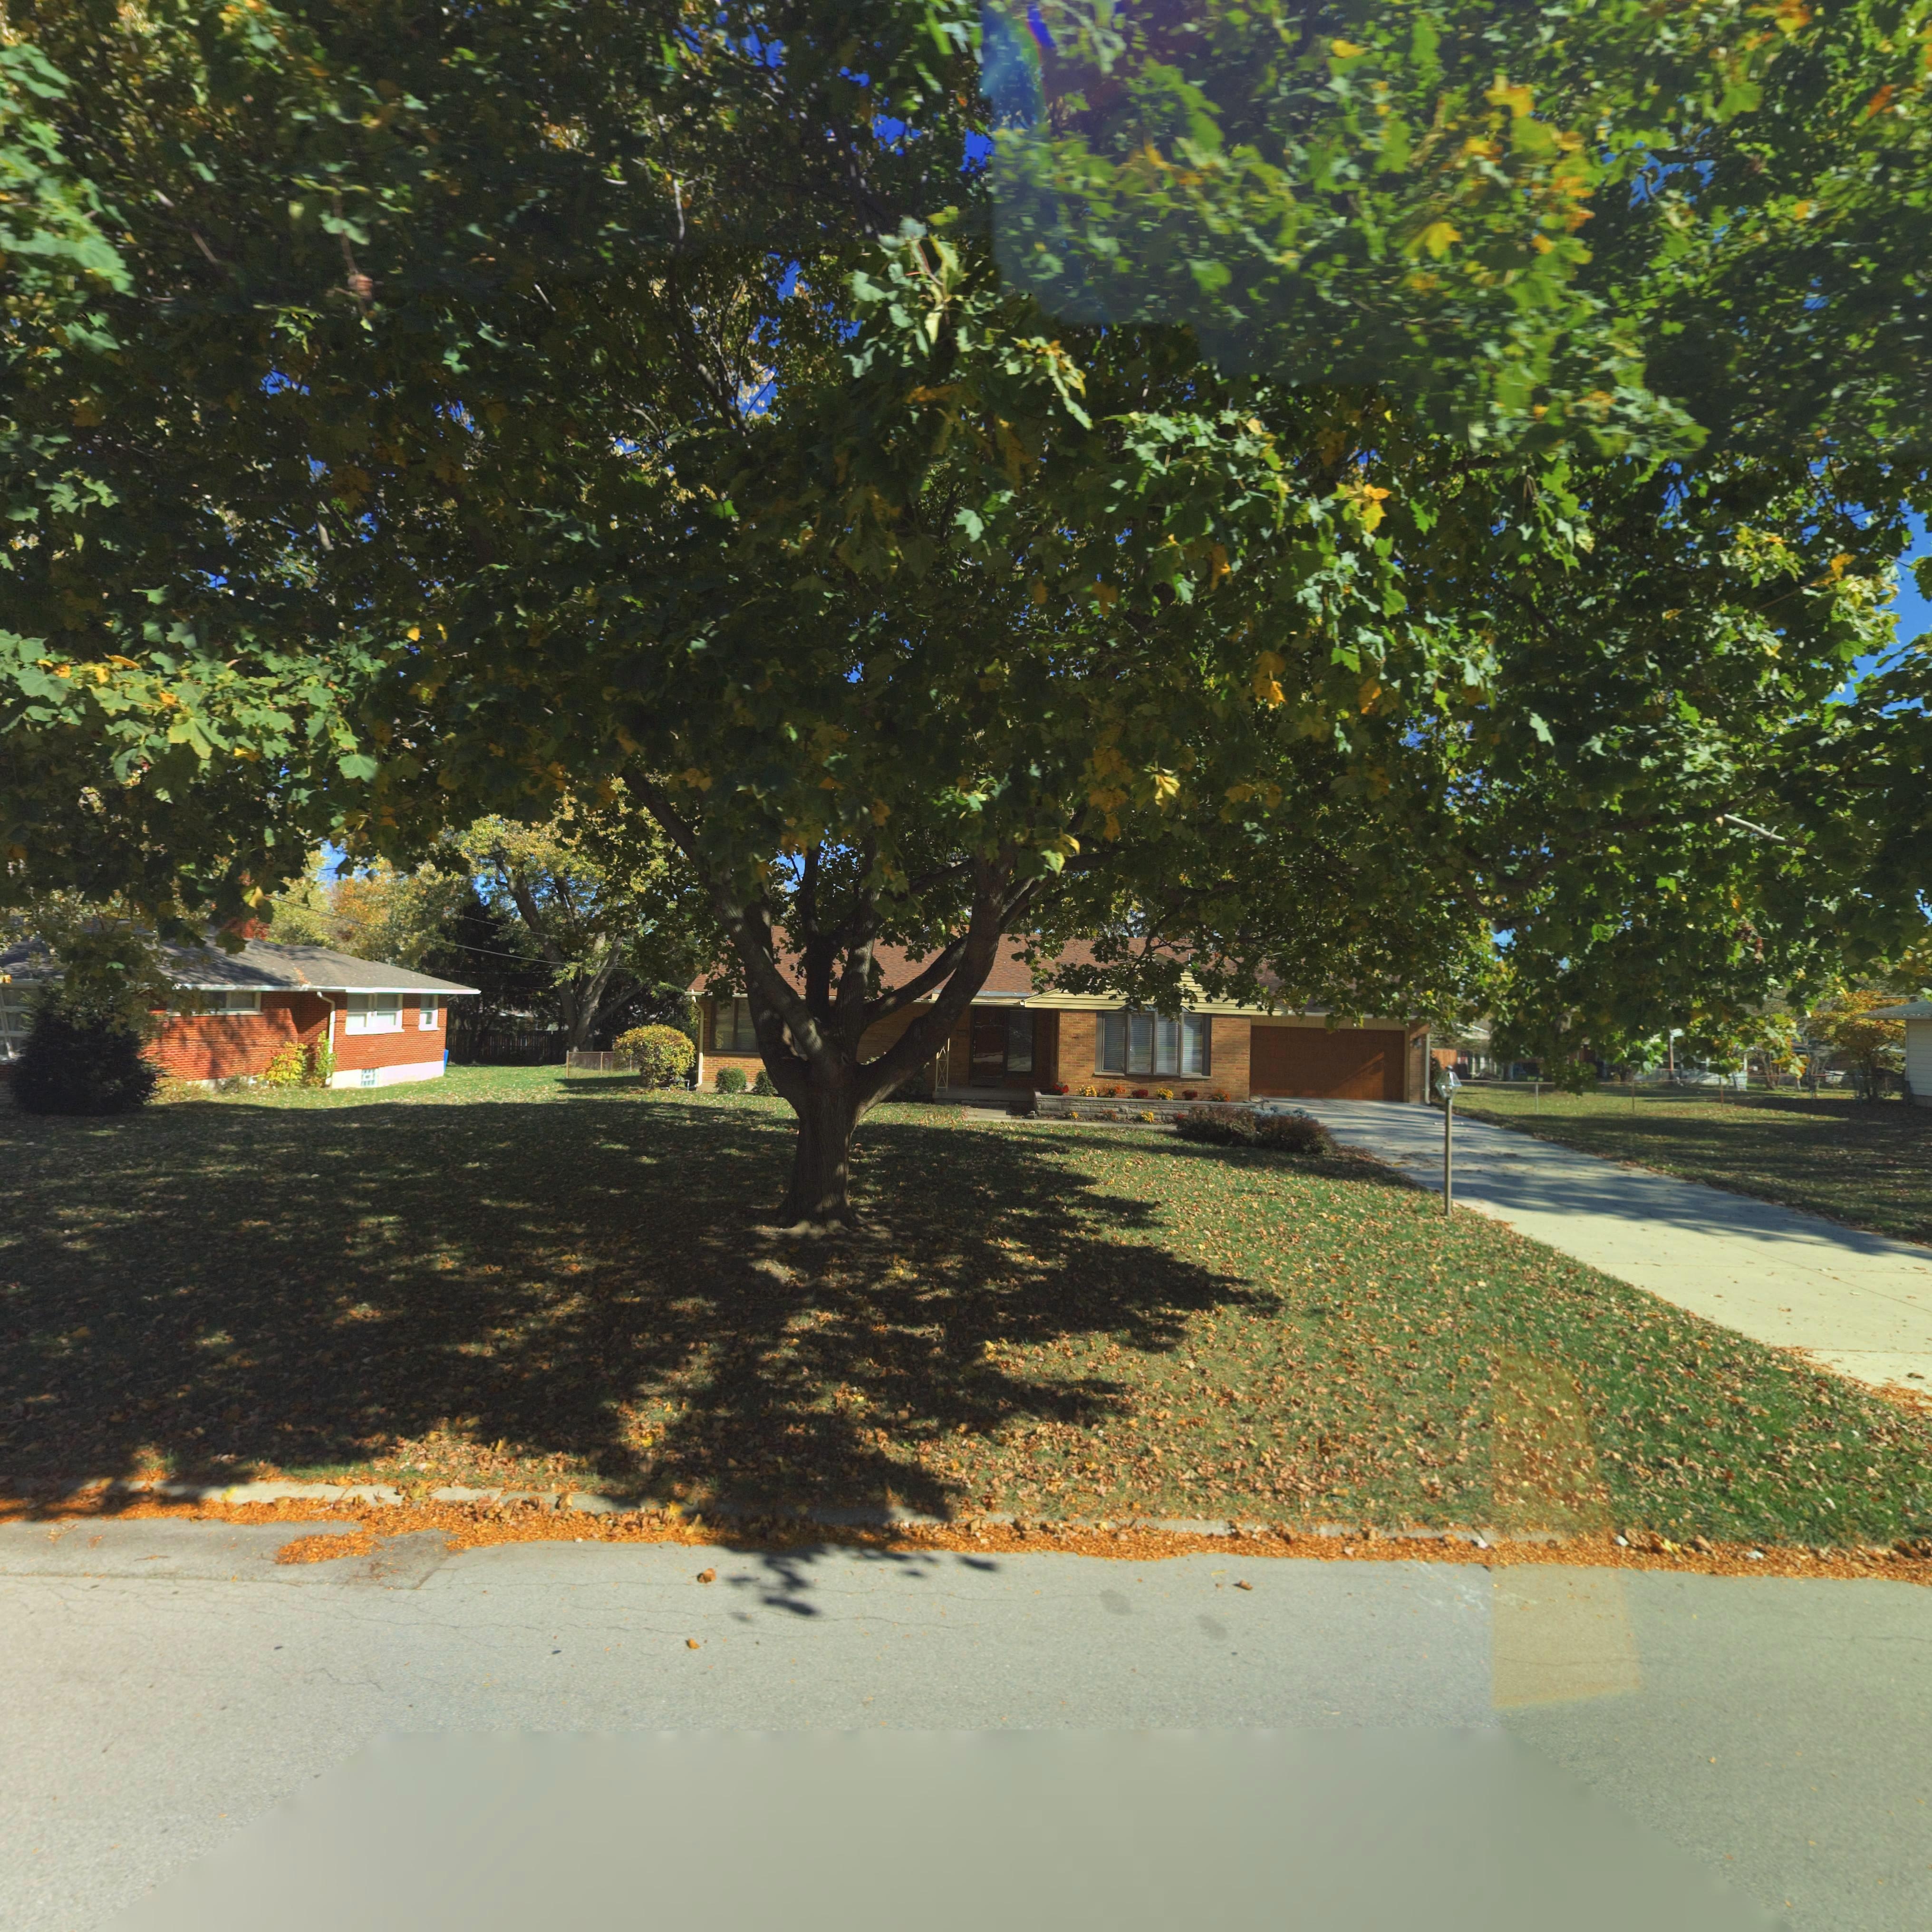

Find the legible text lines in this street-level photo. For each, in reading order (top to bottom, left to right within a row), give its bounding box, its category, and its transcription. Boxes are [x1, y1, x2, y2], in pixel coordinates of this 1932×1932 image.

[951, 1040, 958, 1048] StreetNumber: 0